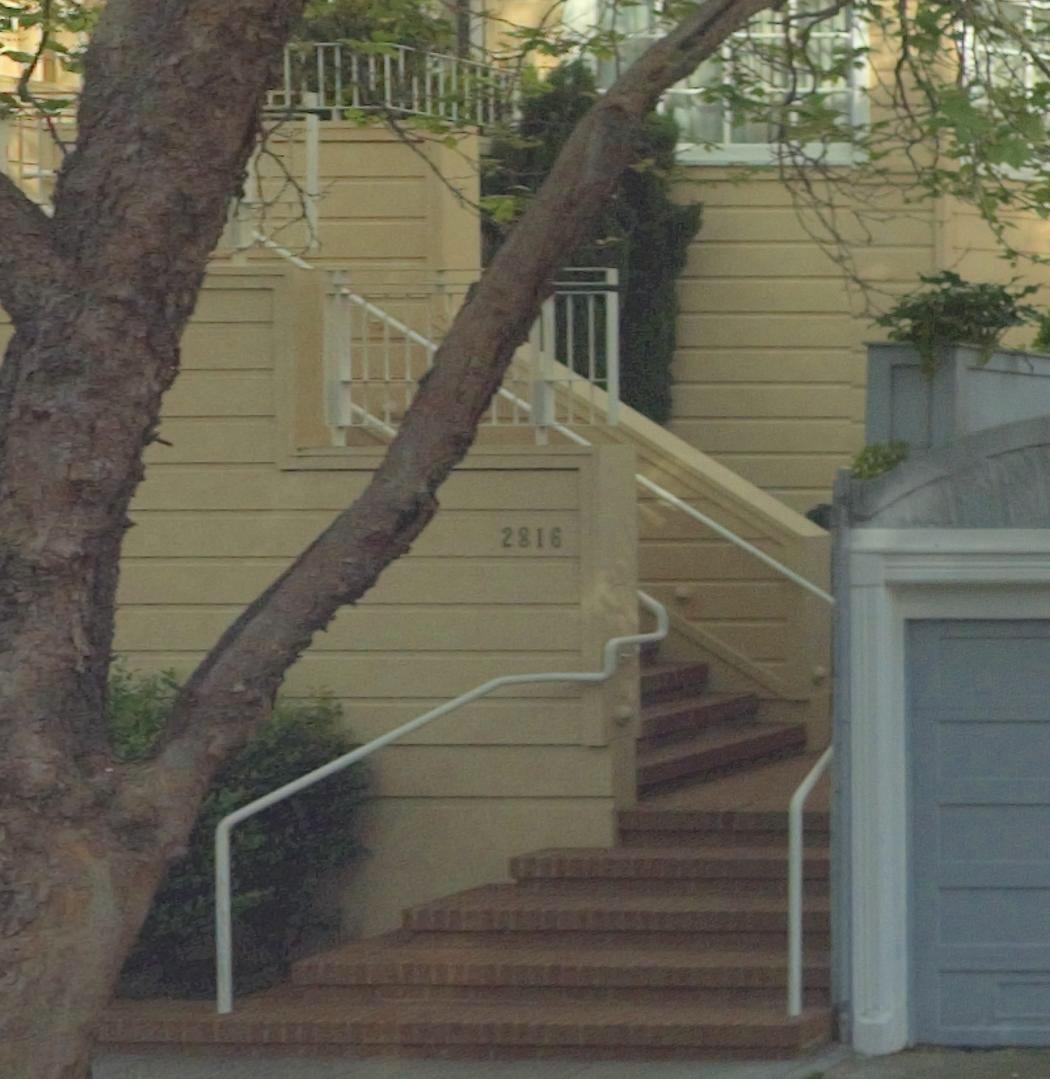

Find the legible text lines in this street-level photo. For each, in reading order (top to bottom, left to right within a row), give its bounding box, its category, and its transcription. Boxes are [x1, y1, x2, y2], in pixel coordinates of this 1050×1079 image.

[499, 523, 567, 551] StreetNumber: 2816